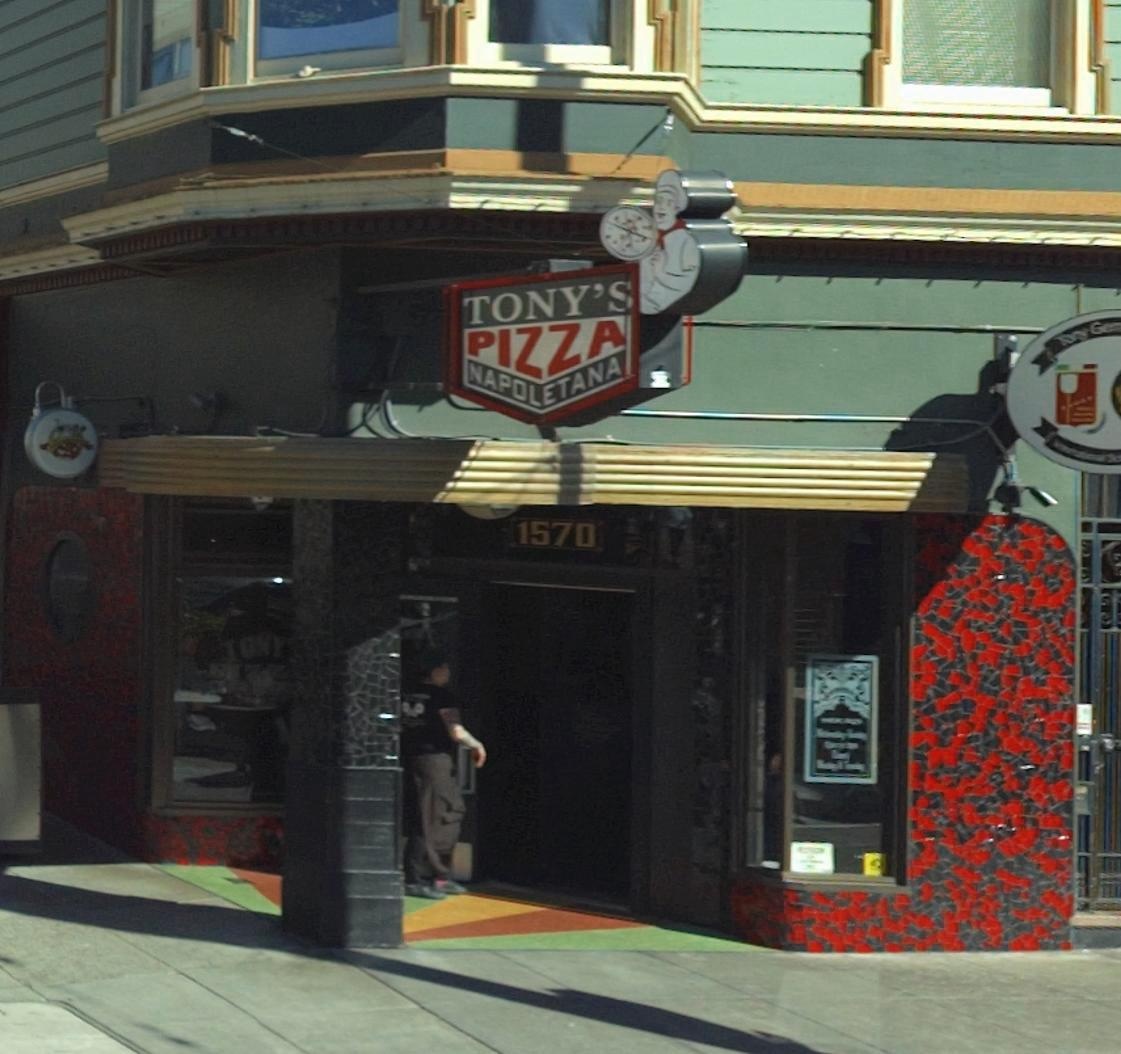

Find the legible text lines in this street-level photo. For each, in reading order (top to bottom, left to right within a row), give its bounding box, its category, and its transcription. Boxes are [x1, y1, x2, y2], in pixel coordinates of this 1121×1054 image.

[459, 278, 634, 326] BusinessName: TONY'S
[464, 318, 630, 383] BusinessName: PIZZA
[466, 355, 624, 410] BusinessName: NAPOLETANA
[516, 519, 598, 549] StreetNumber: 1570